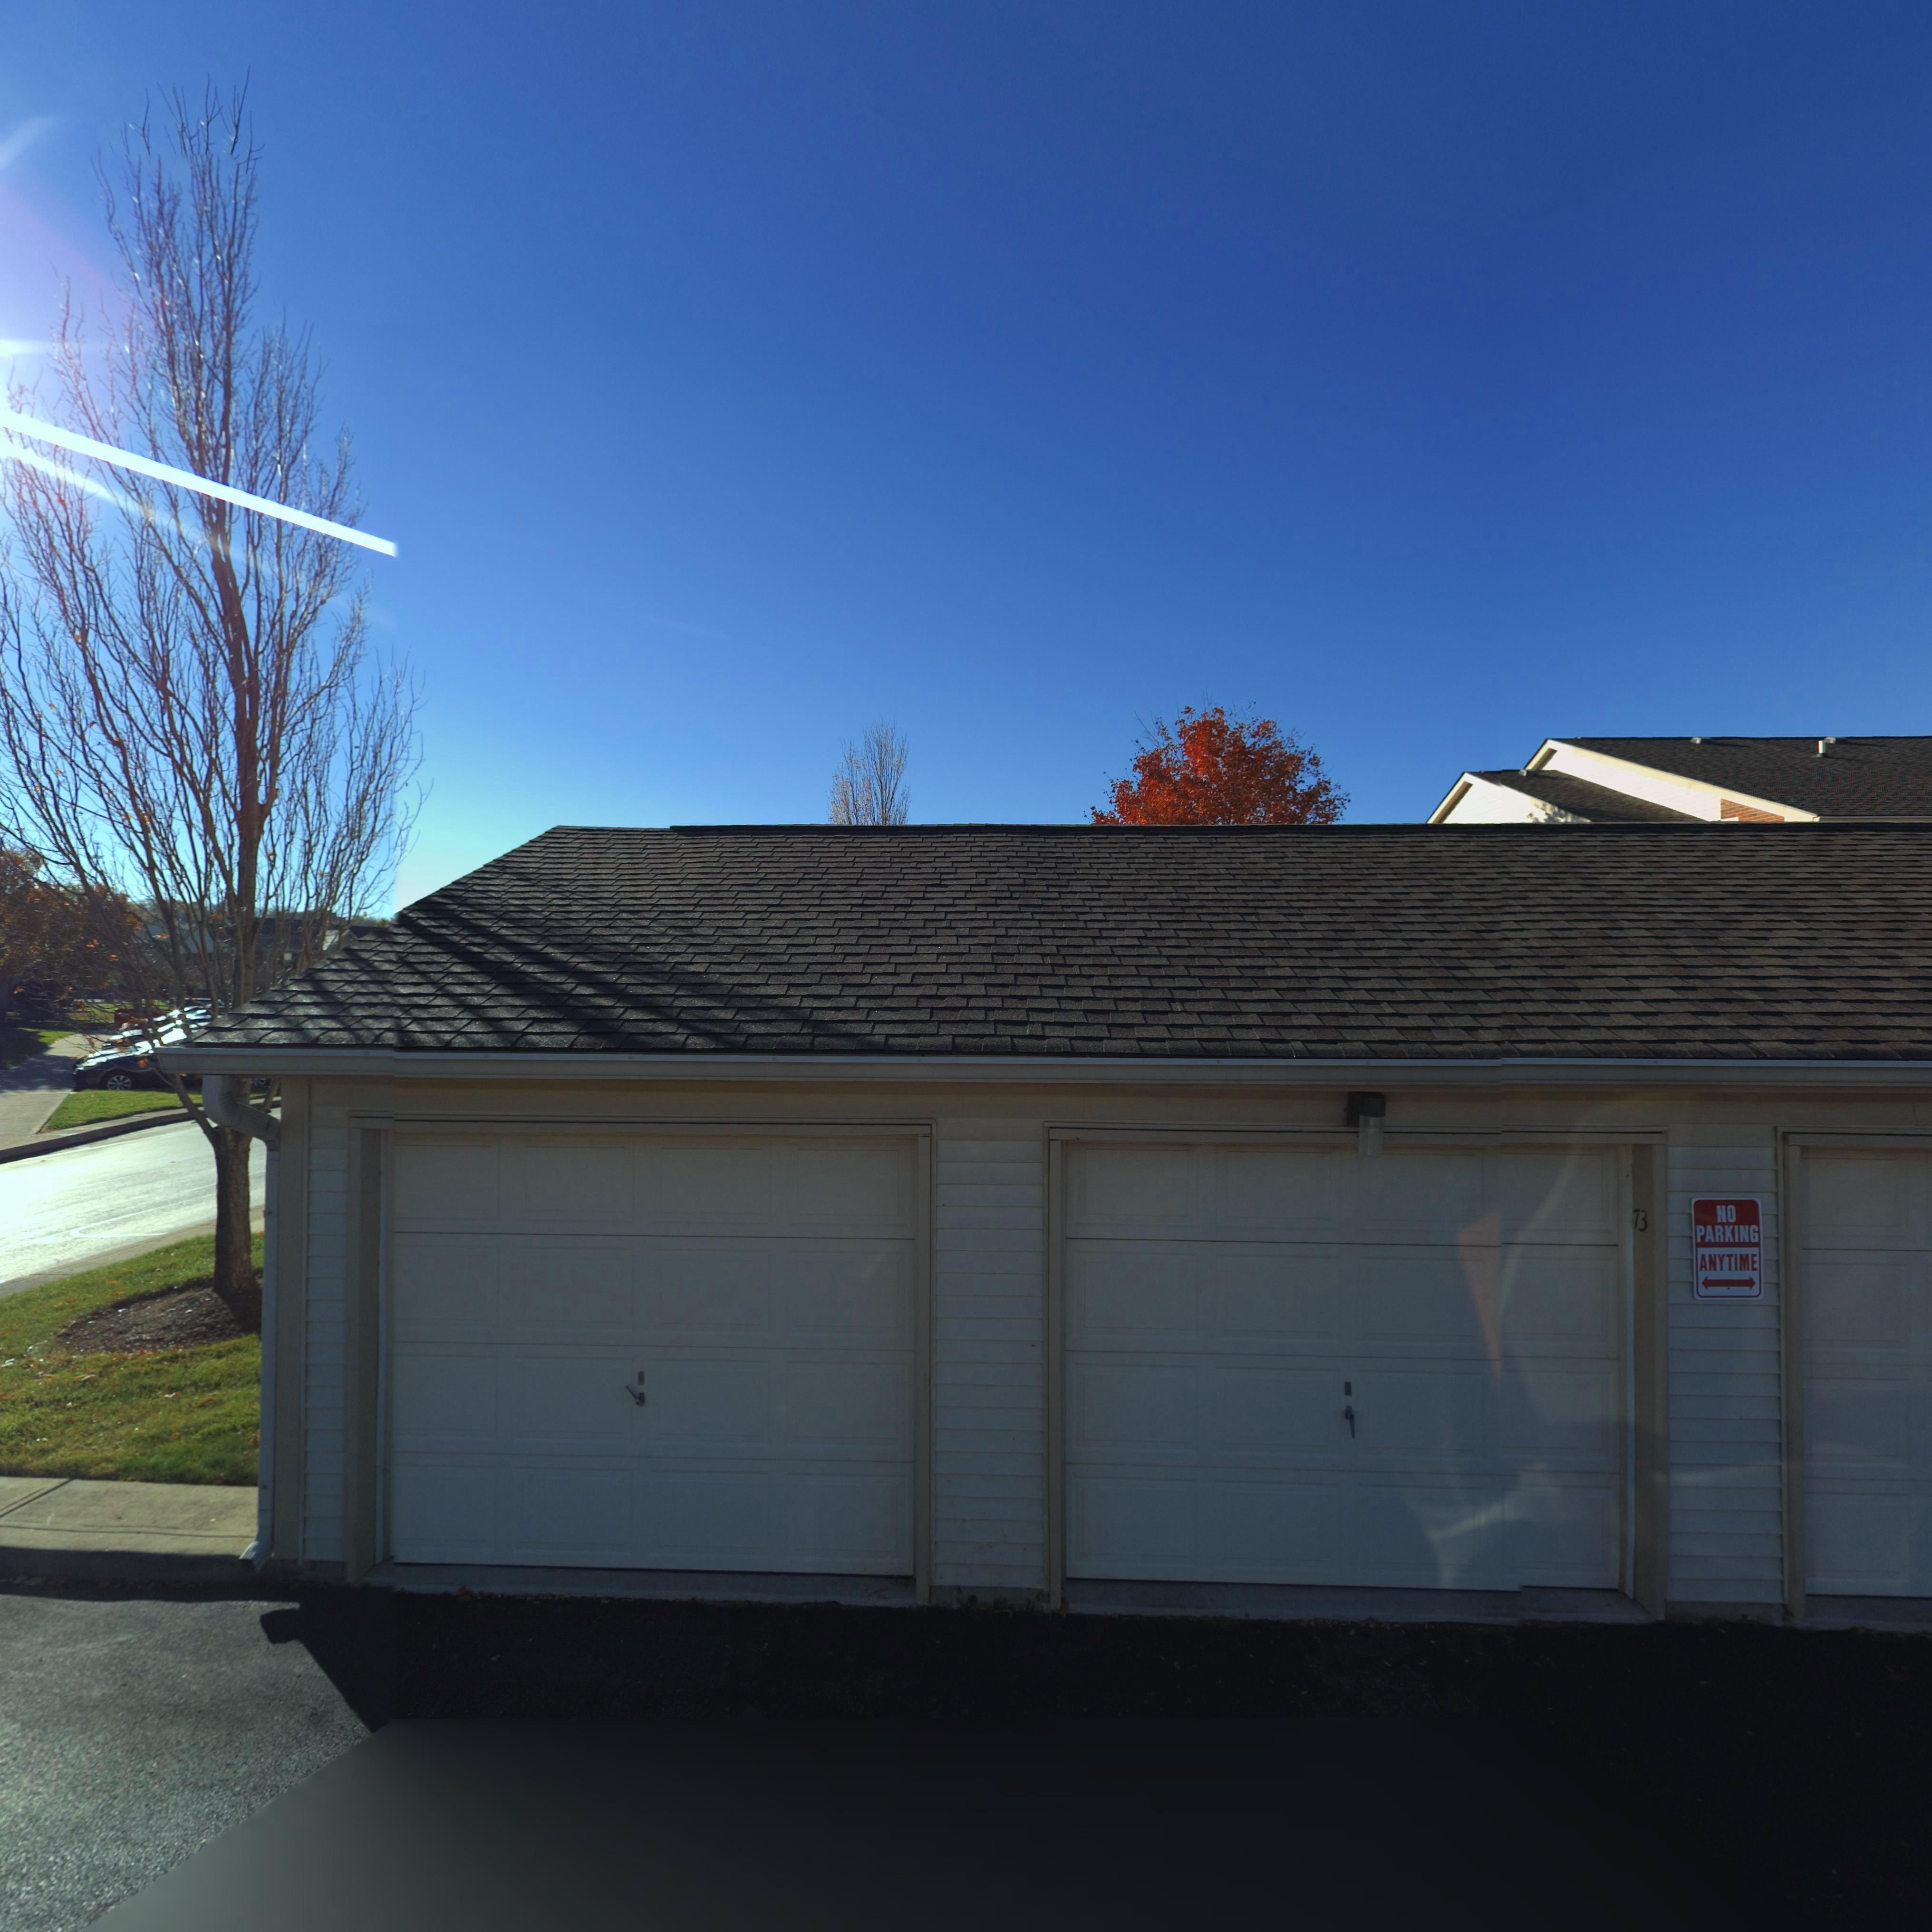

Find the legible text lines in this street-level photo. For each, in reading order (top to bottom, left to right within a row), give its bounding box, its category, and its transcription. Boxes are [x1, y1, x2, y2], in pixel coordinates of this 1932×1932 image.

[1633, 1206, 1648, 1231] StreetNumber: 73